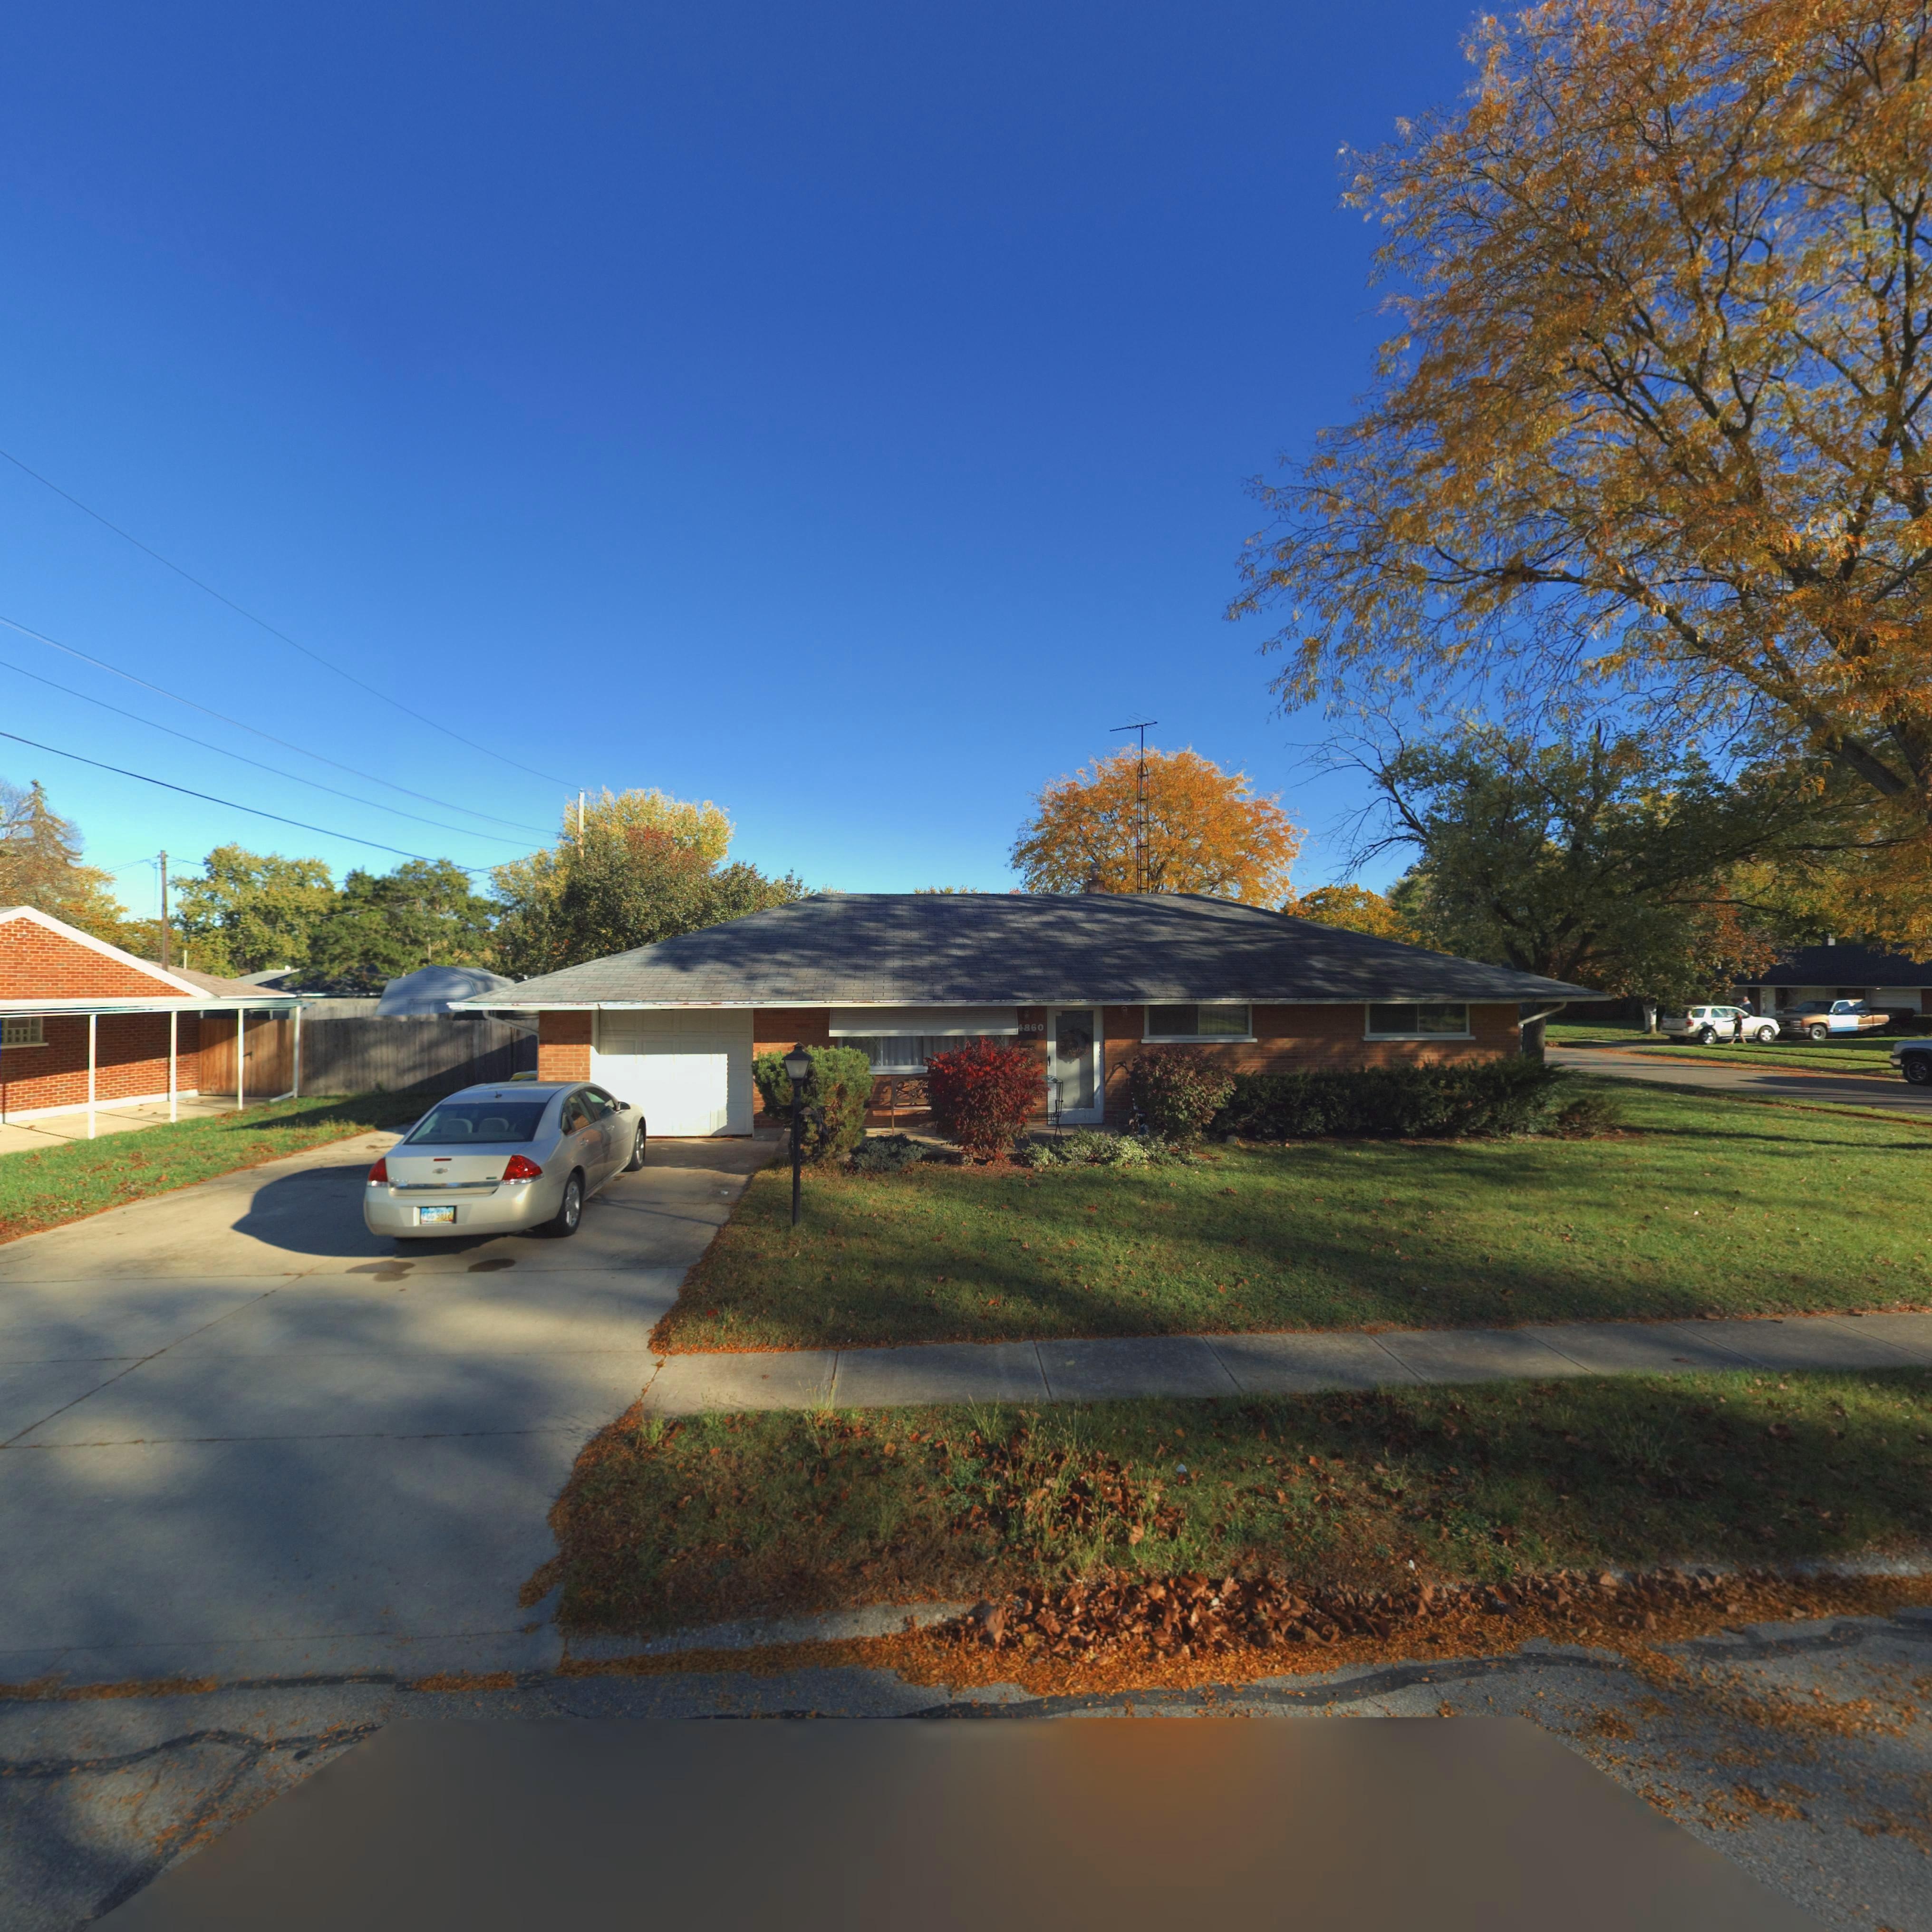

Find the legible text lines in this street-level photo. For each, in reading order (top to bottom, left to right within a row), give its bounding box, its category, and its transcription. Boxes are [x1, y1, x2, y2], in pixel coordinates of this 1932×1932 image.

[1017, 1023, 1044, 1032] StreetNumber: 4860